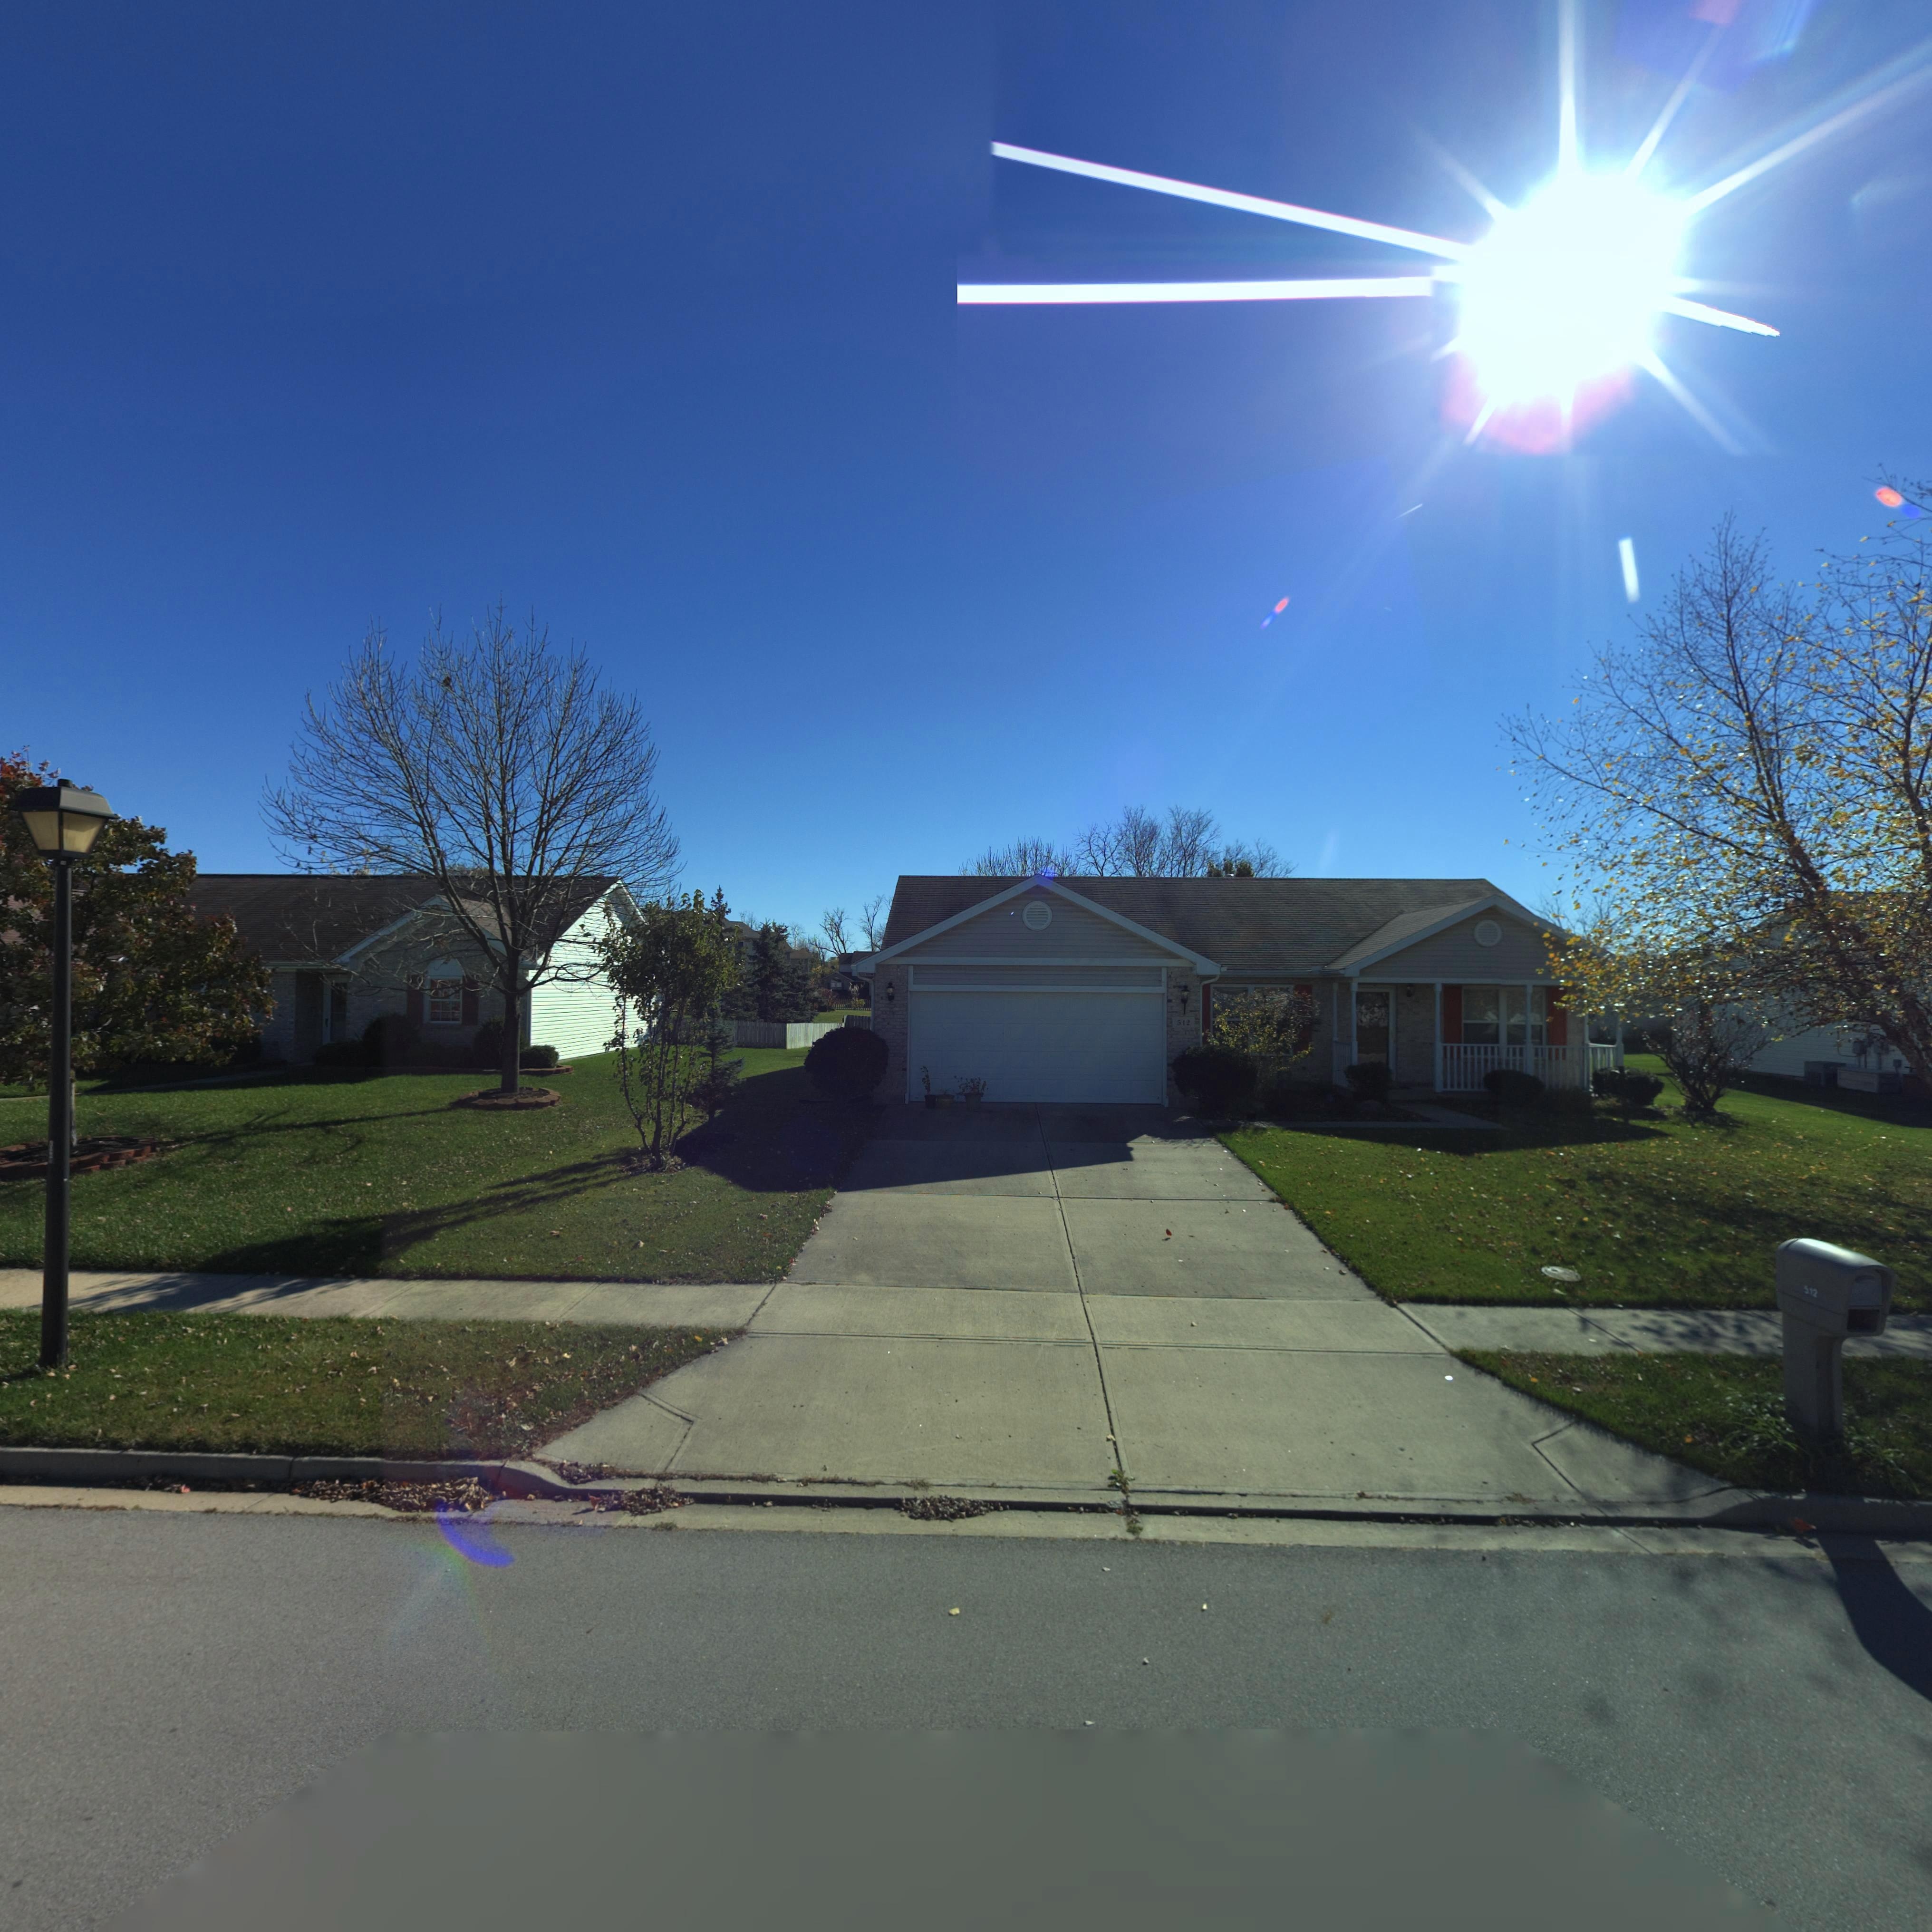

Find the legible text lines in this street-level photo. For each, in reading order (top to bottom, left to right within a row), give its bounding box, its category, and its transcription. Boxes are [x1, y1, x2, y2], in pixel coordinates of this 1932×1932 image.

[1176, 1018, 1191, 1026] StreetNumber: 512
[1803, 1284, 1819, 1299] StreetNumber: 512